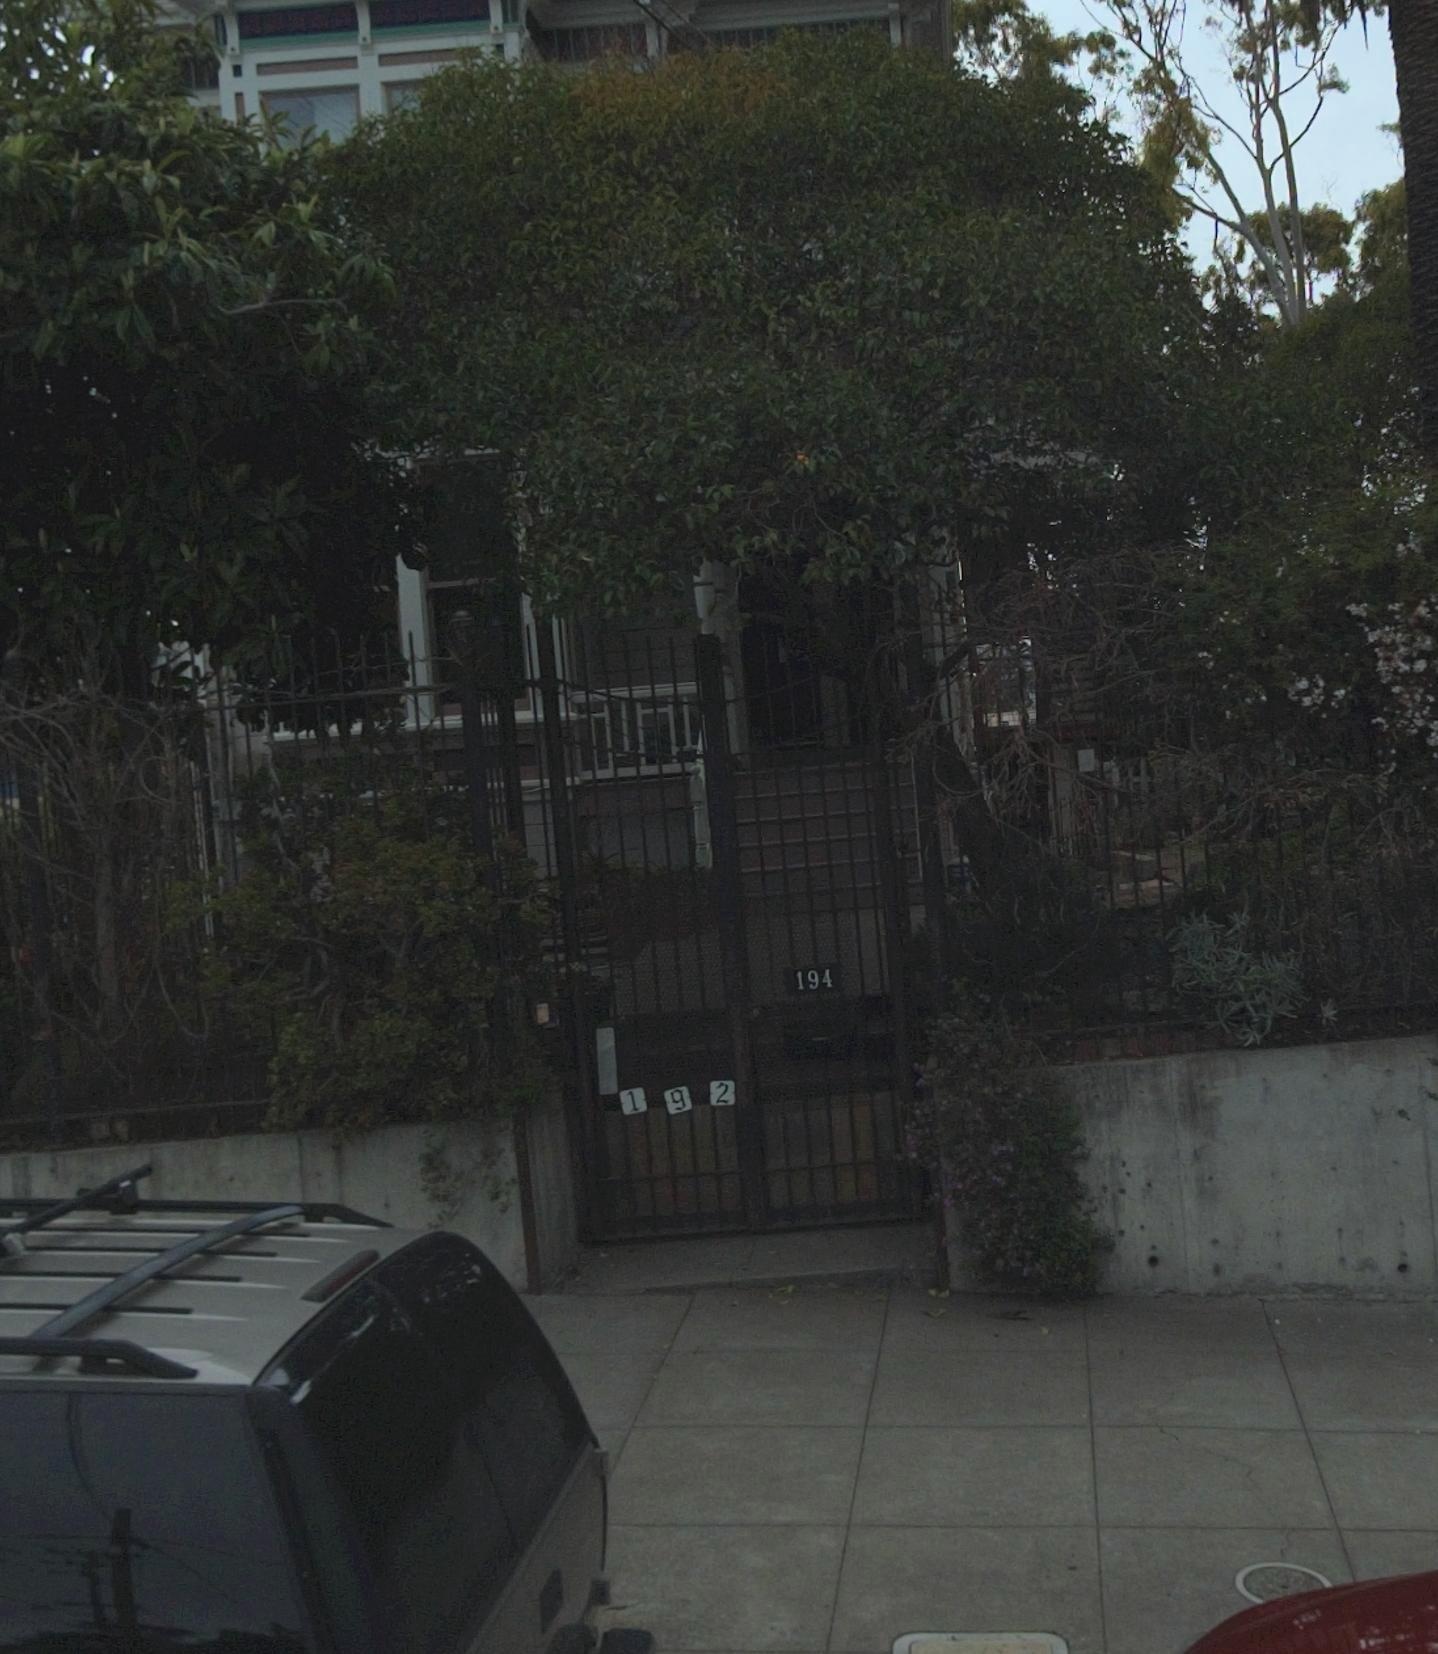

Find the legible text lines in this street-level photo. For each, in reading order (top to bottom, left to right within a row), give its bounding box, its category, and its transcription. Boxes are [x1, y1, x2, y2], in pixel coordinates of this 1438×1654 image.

[795, 968, 834, 991] StreetNumber: 194
[627, 1080, 731, 1112] StreetNumber: 192